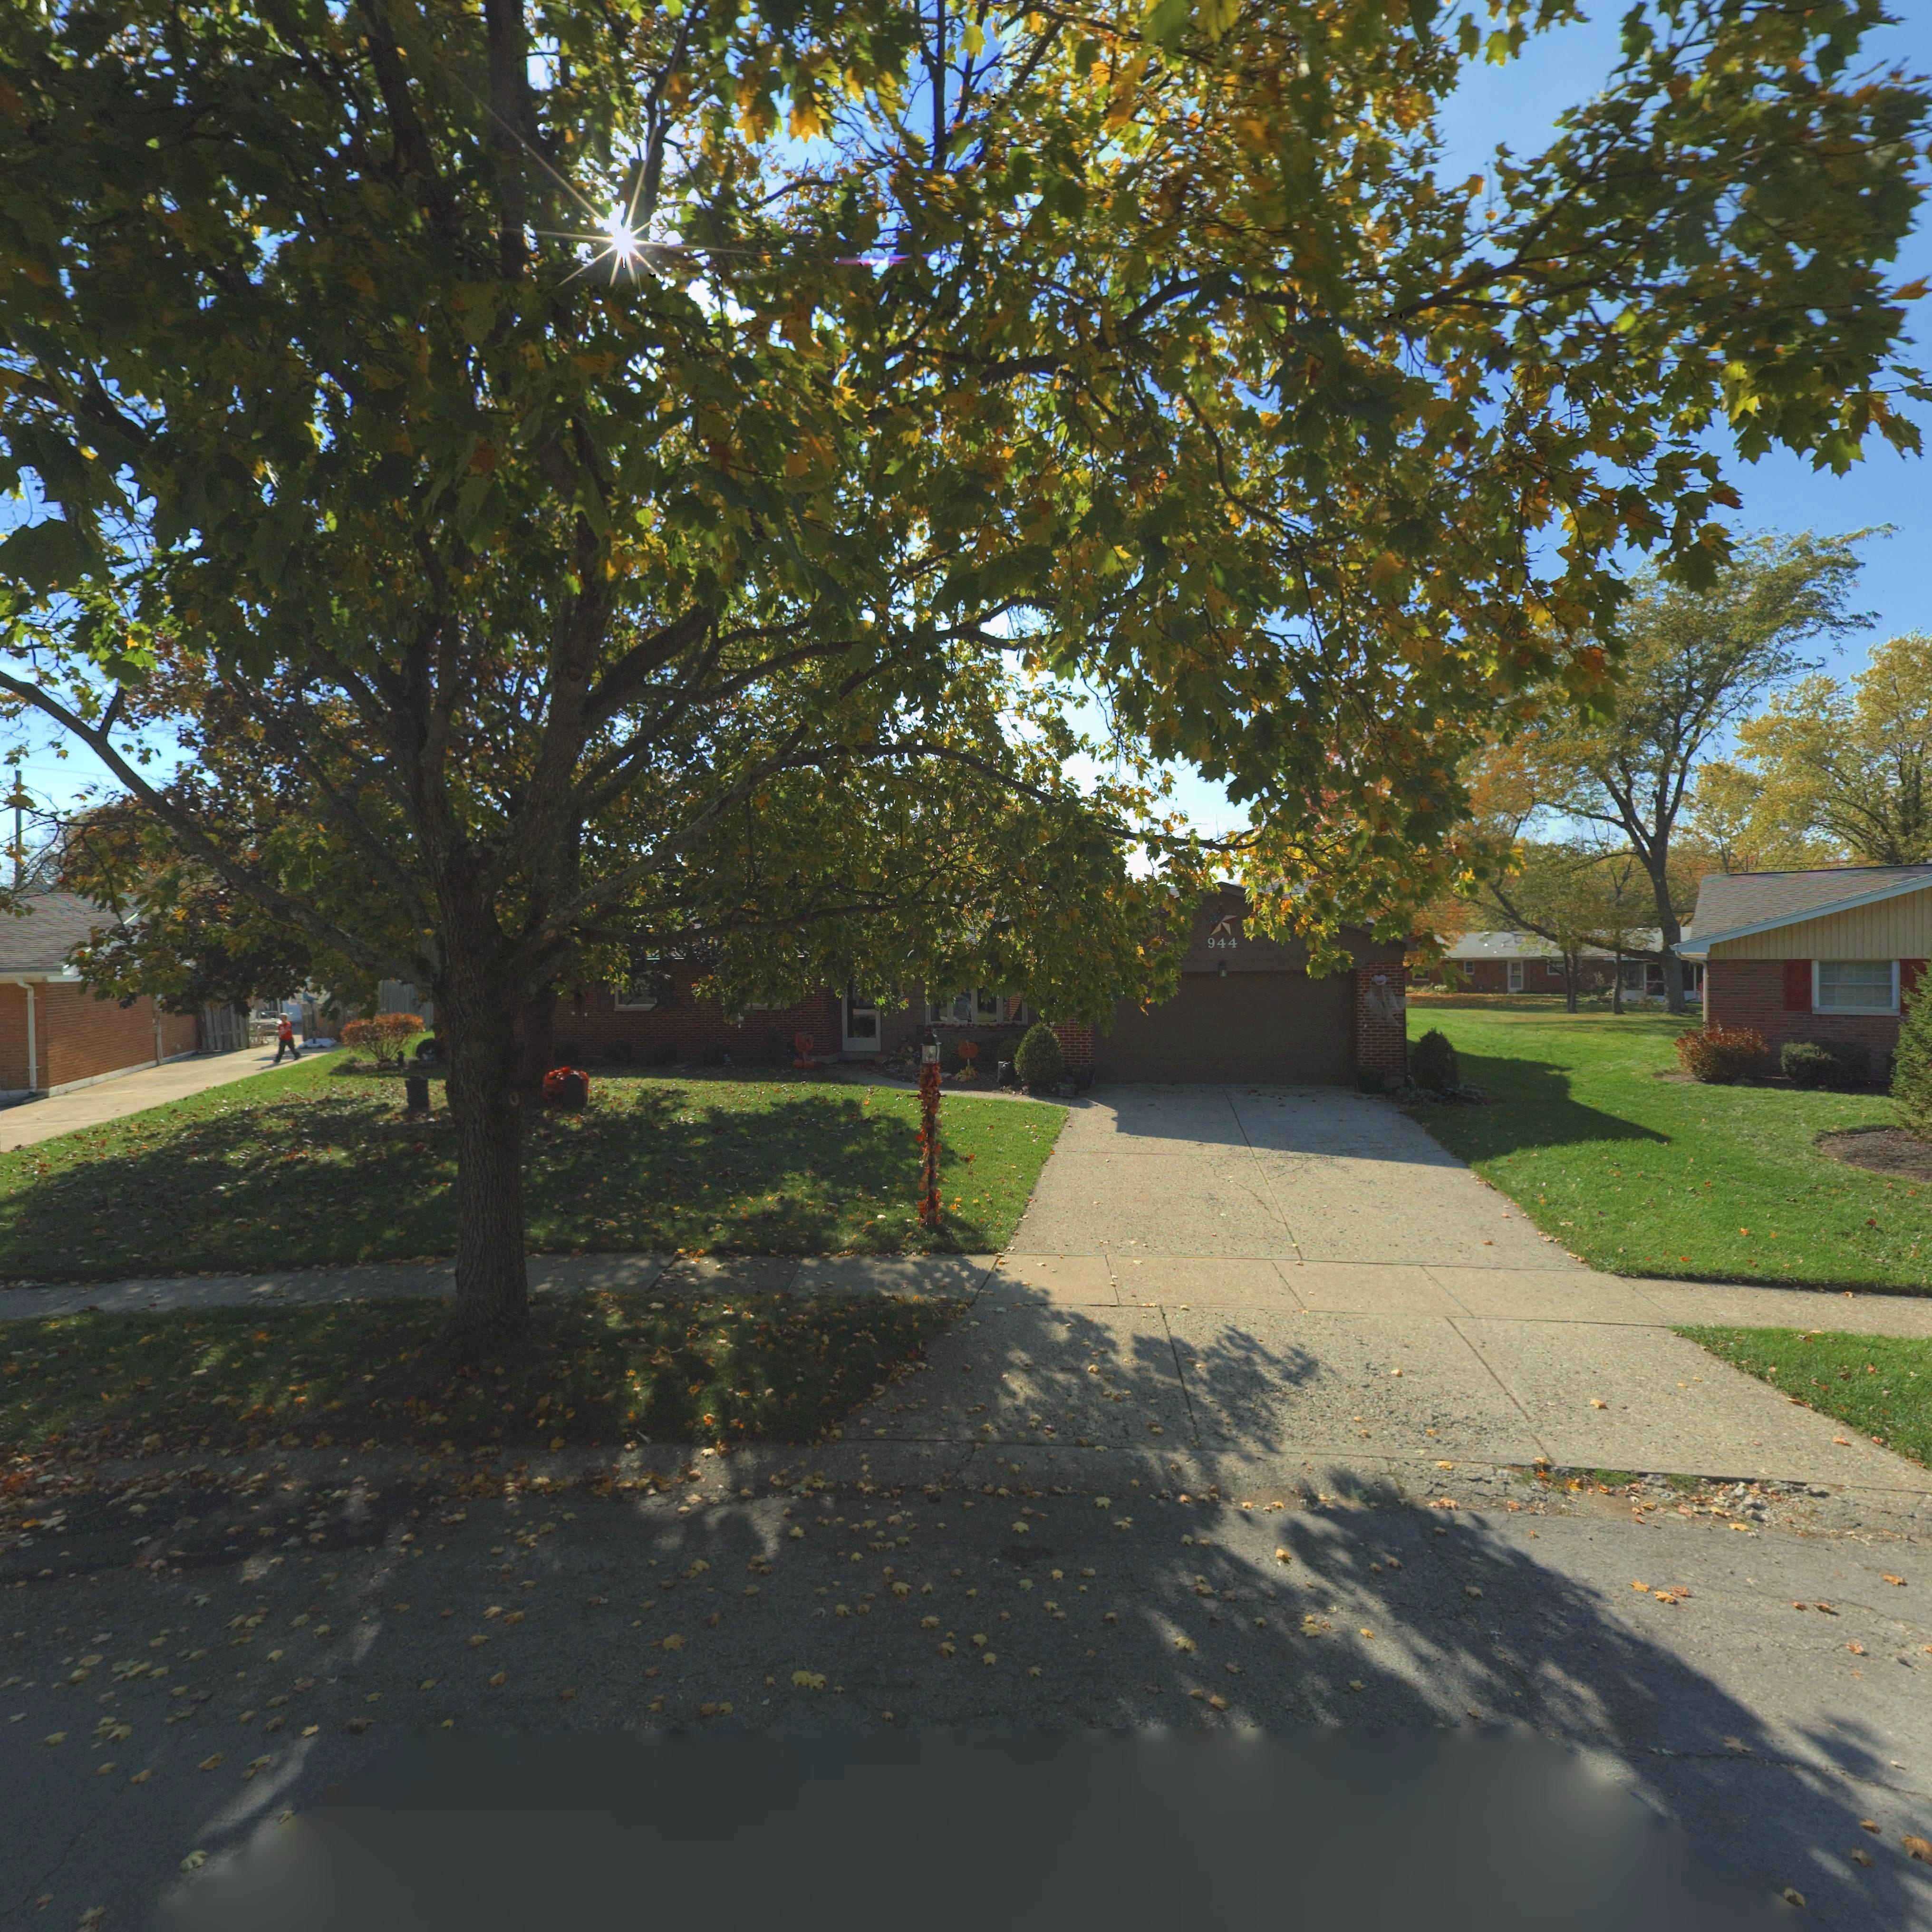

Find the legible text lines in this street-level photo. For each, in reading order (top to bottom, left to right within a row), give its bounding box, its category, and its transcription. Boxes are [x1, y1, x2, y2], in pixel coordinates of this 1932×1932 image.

[1207, 937, 1237, 948] StreetNumber: 944